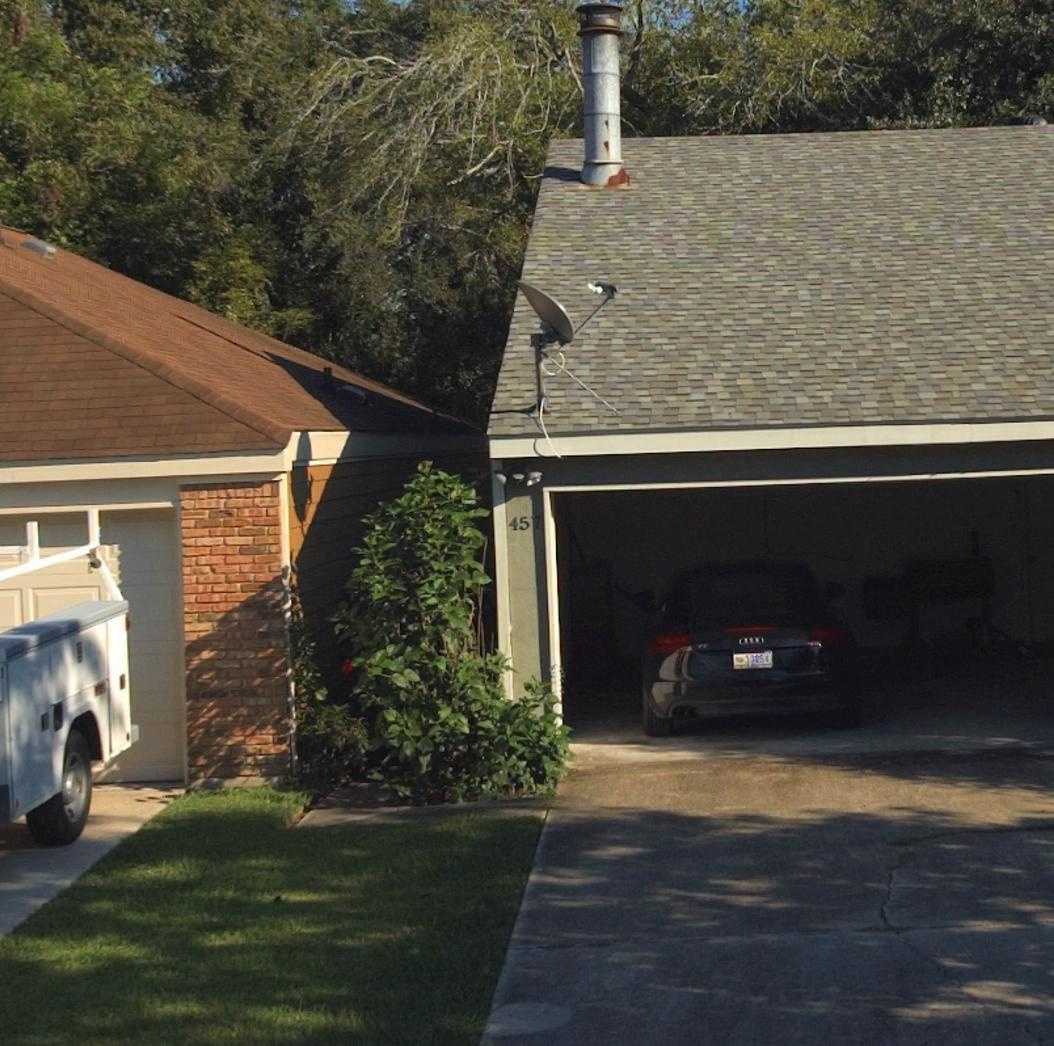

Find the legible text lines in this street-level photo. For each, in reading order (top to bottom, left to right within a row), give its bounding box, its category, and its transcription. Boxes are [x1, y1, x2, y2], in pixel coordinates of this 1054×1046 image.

[508, 515, 543, 532] StreetNumber: 457
[745, 654, 770, 664] None: 3385*